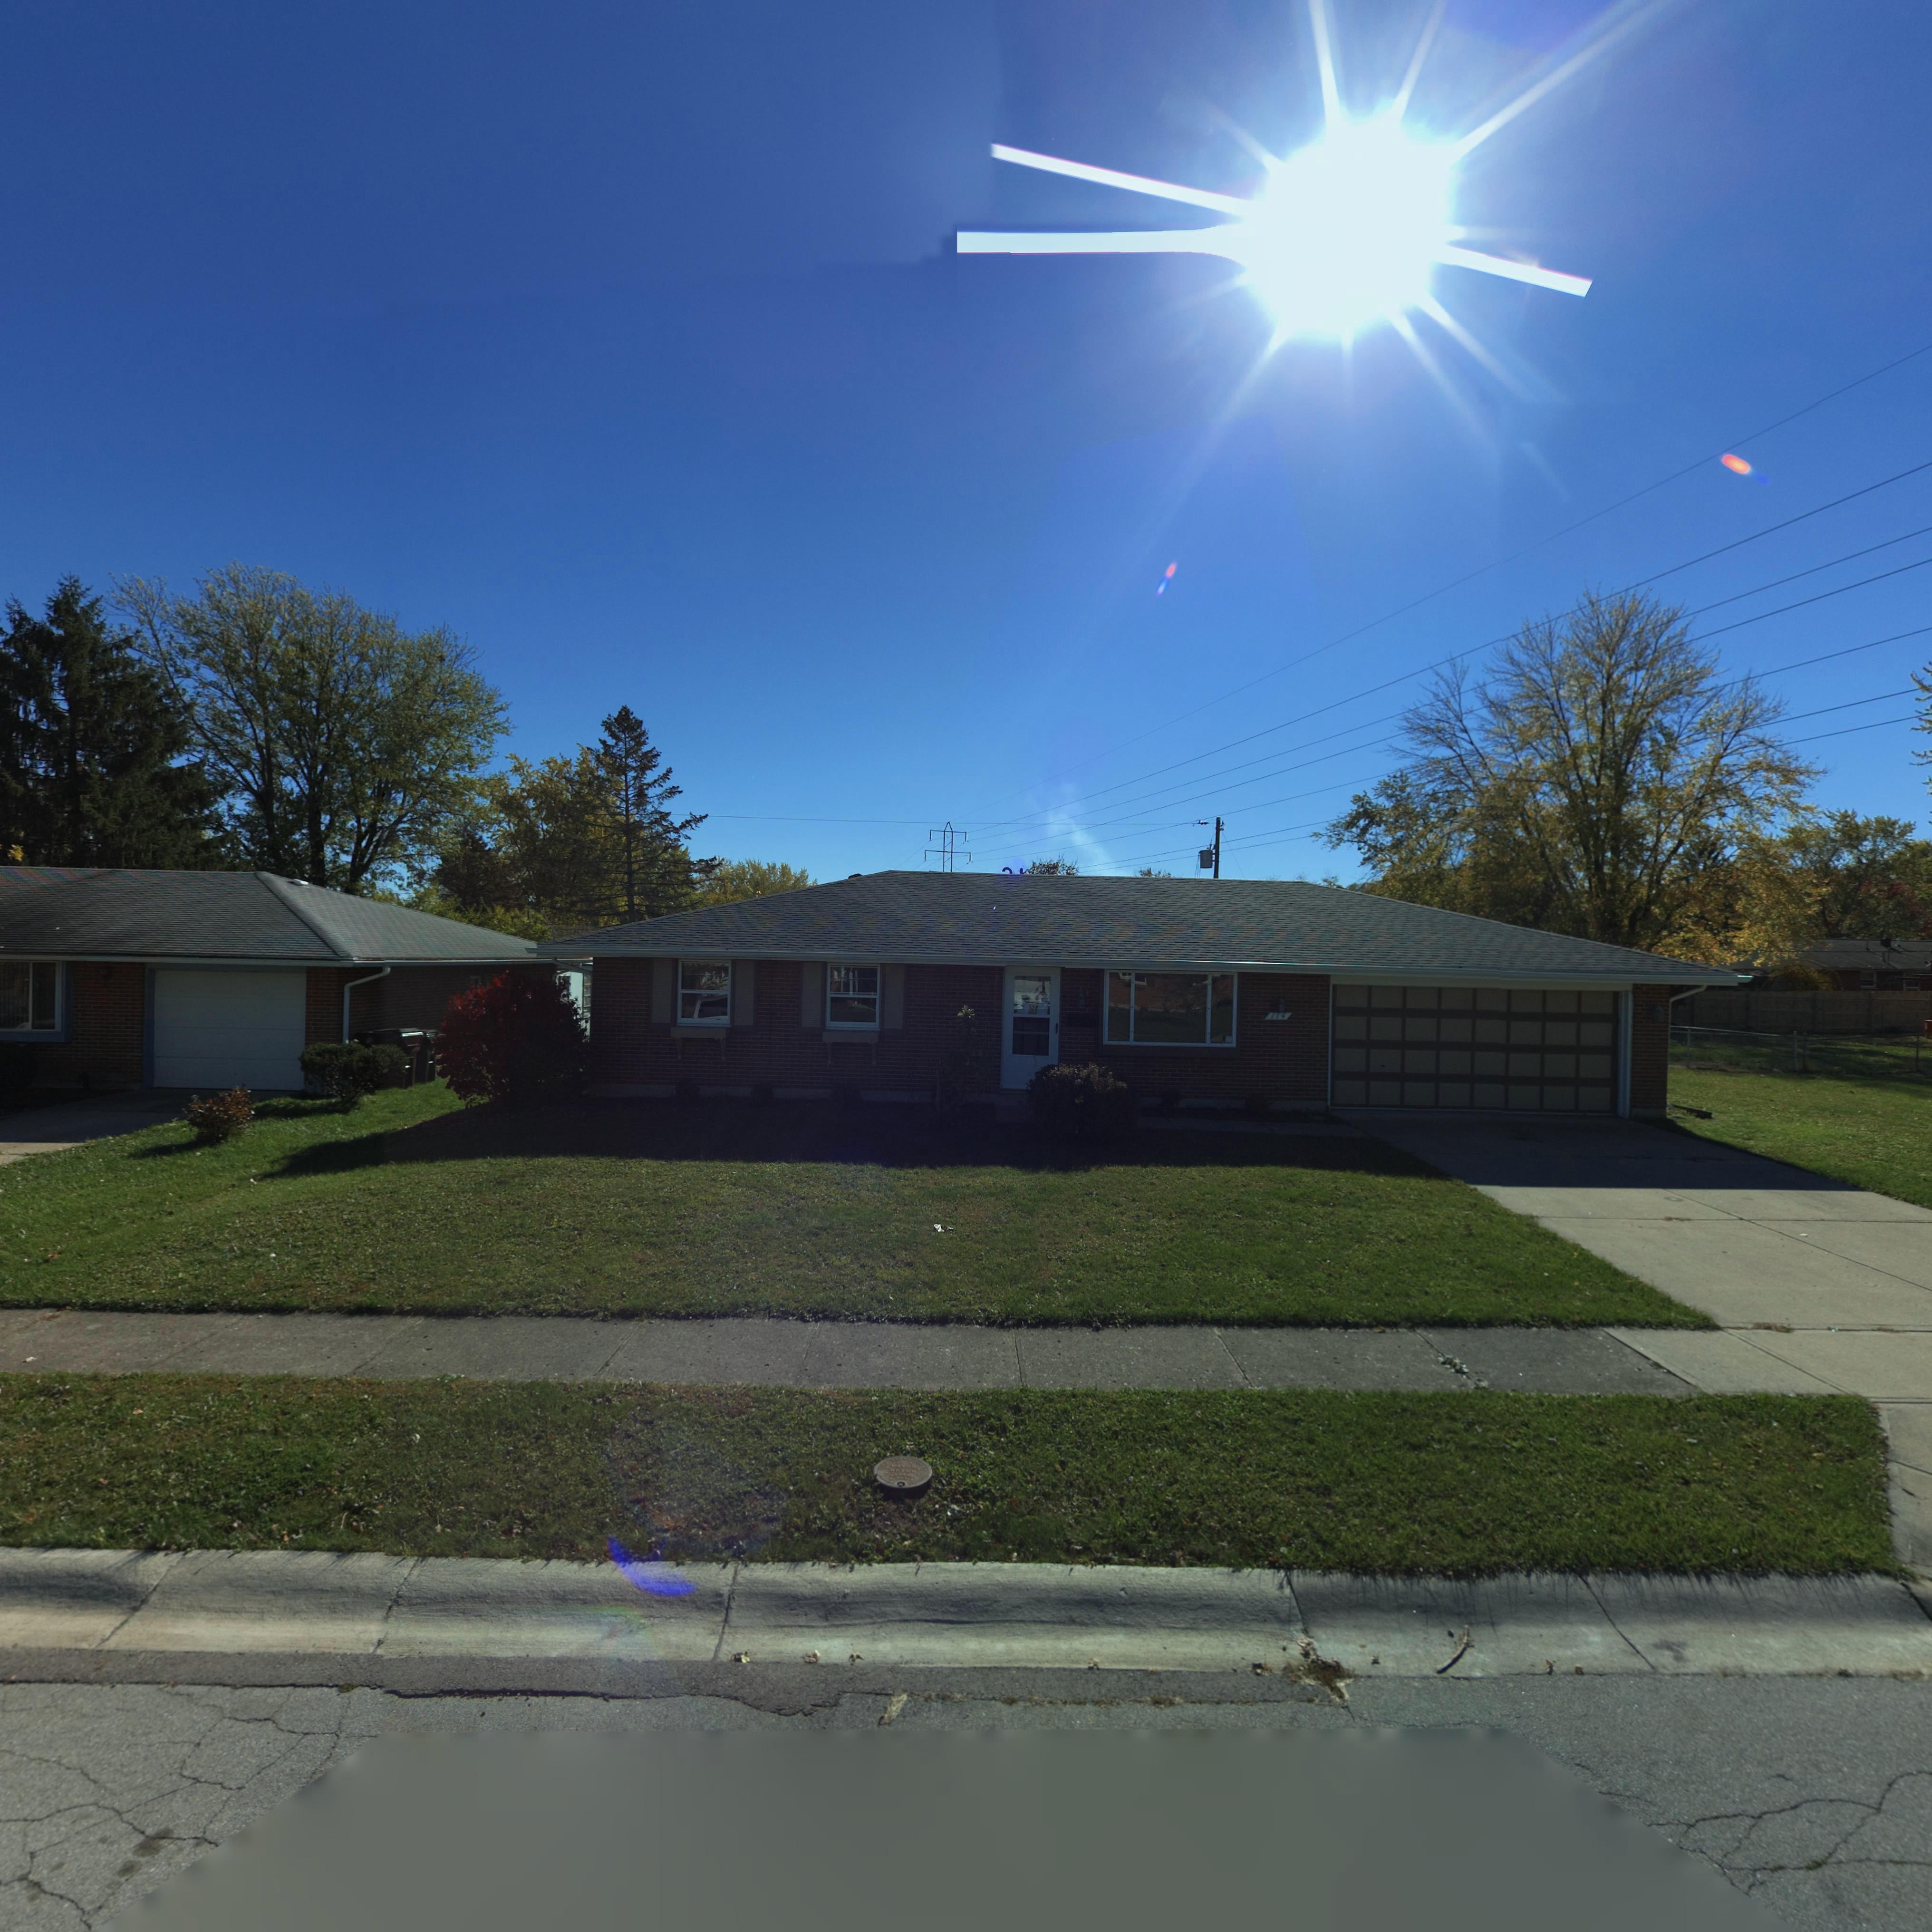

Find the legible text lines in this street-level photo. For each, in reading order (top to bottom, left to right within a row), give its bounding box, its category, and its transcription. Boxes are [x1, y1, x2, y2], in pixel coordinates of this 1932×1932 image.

[1269, 1012, 1287, 1020] StreetNumber: 114